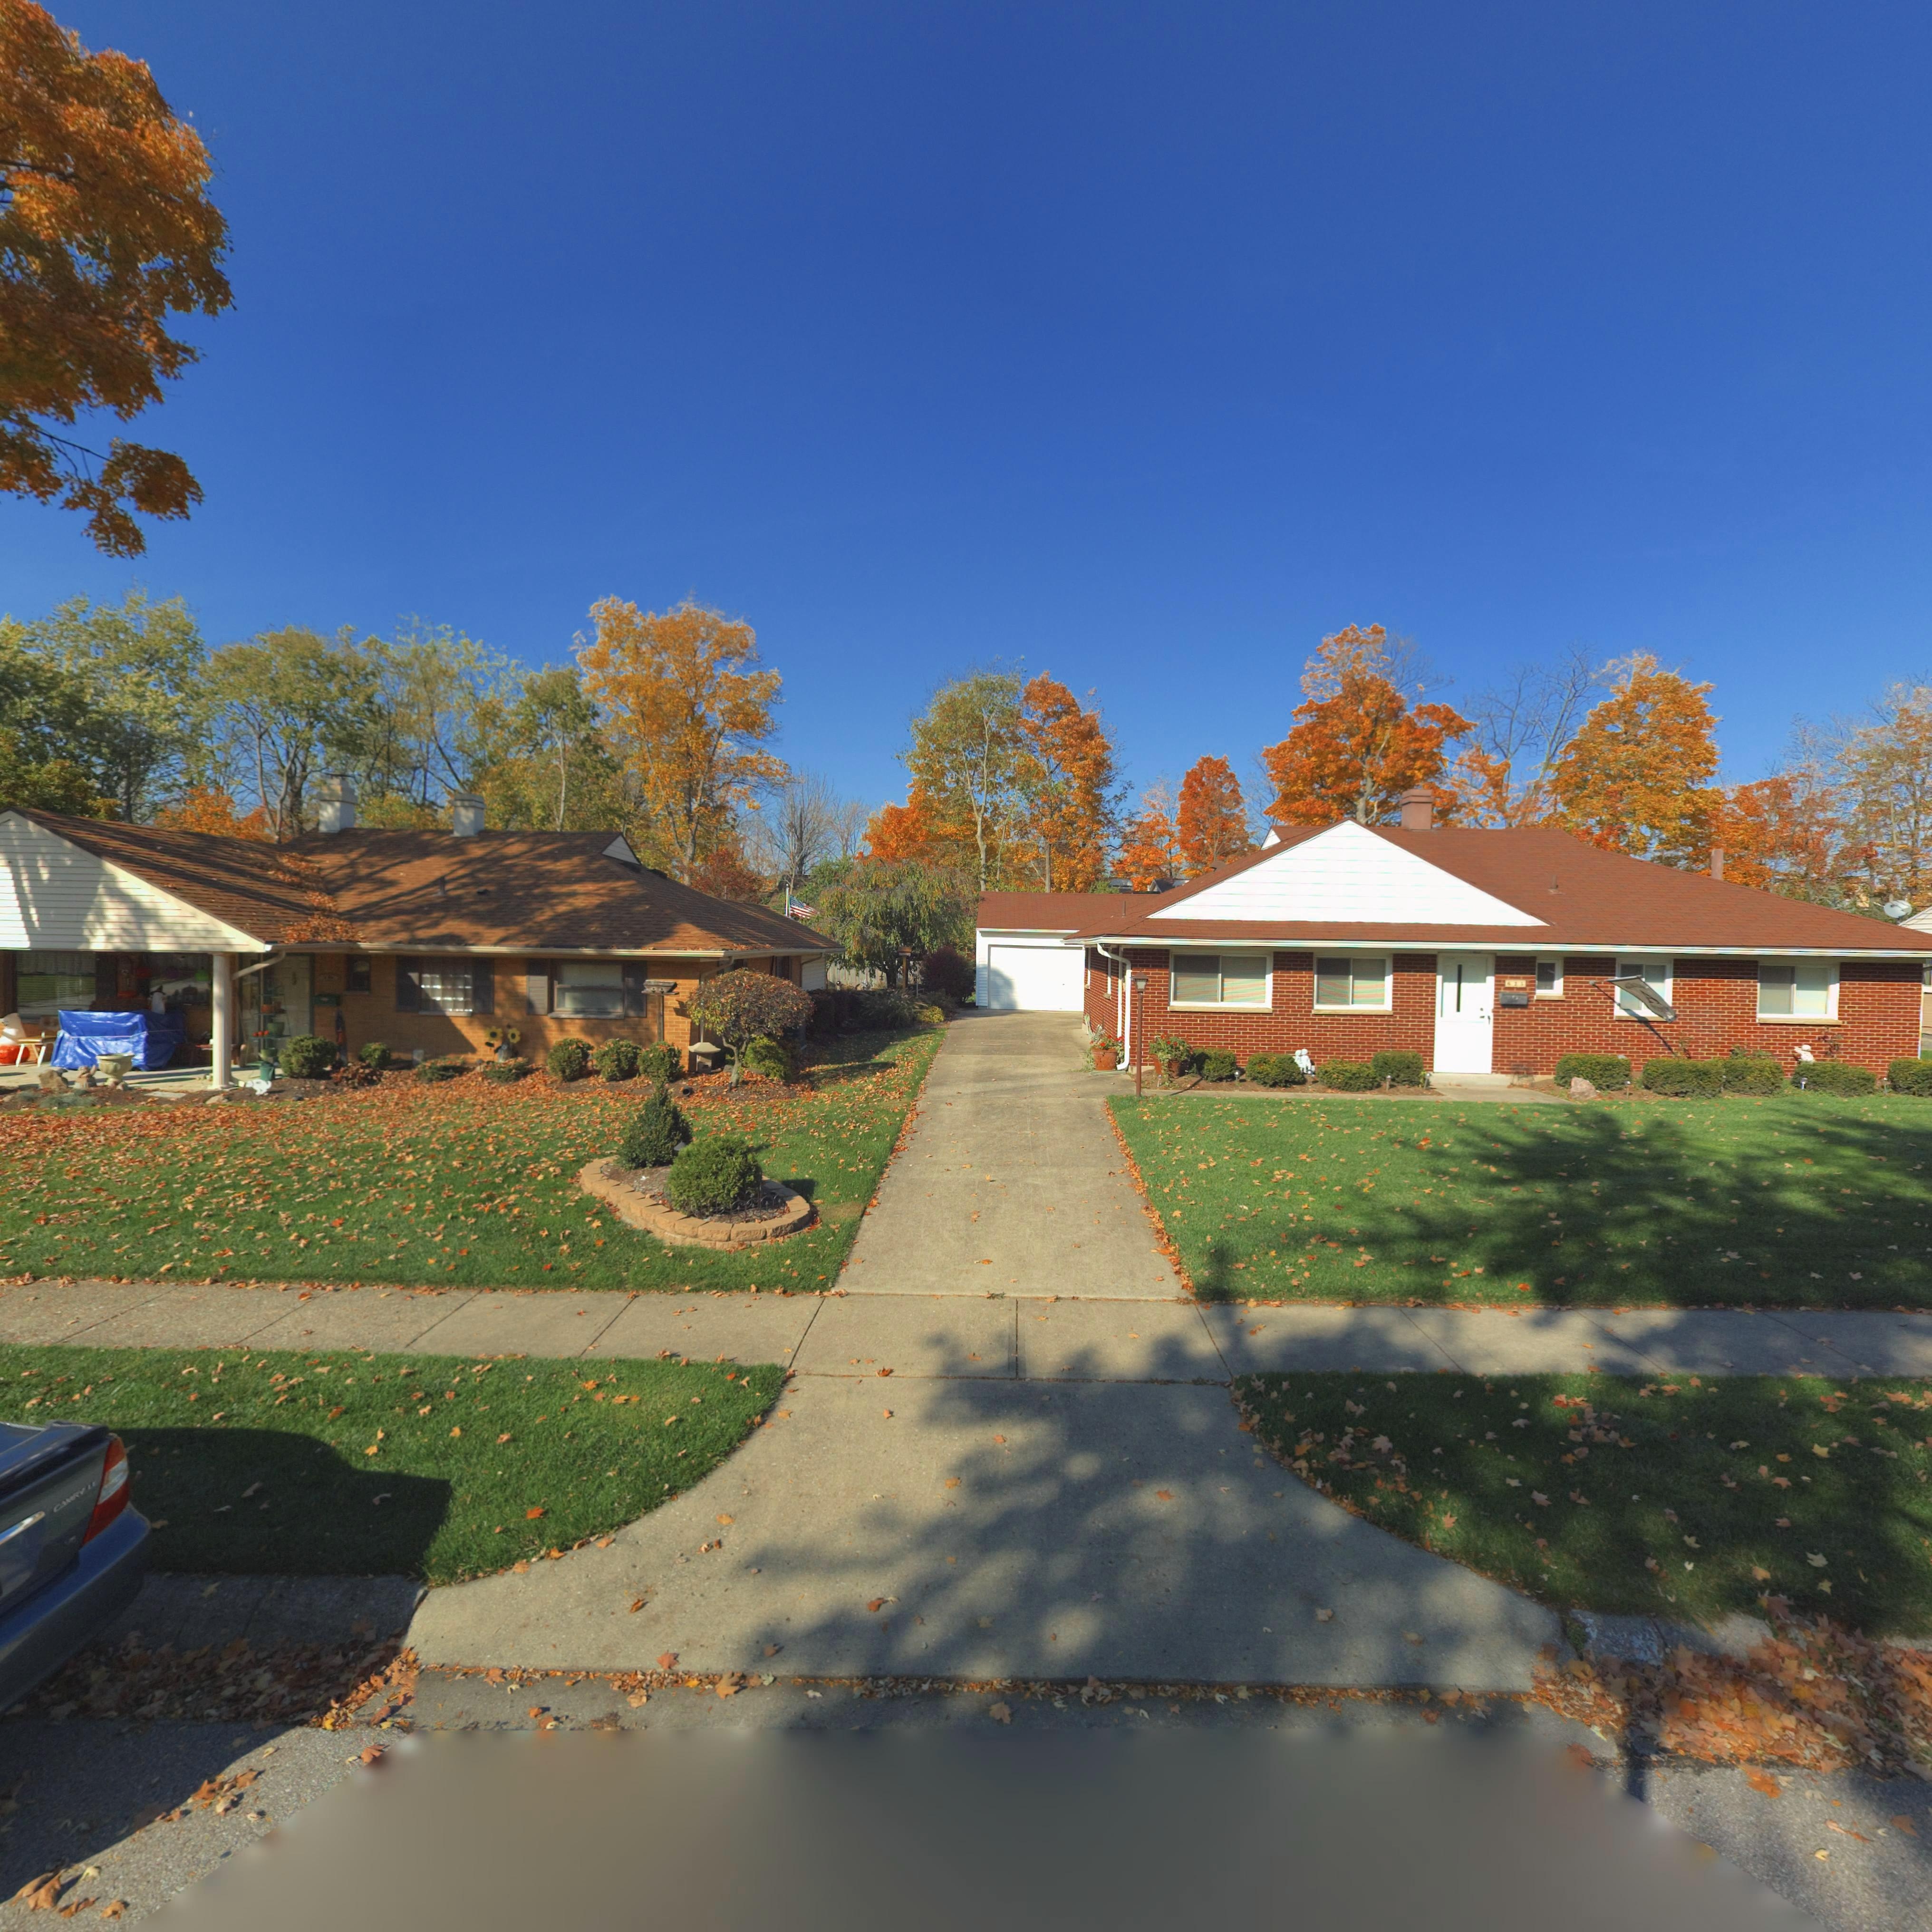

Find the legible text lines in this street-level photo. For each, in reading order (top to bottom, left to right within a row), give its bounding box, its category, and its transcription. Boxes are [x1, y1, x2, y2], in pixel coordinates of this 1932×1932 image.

[1507, 981, 1524, 986] StreetNumber: 62*
[1638, 989, 1663, 1004] None: A